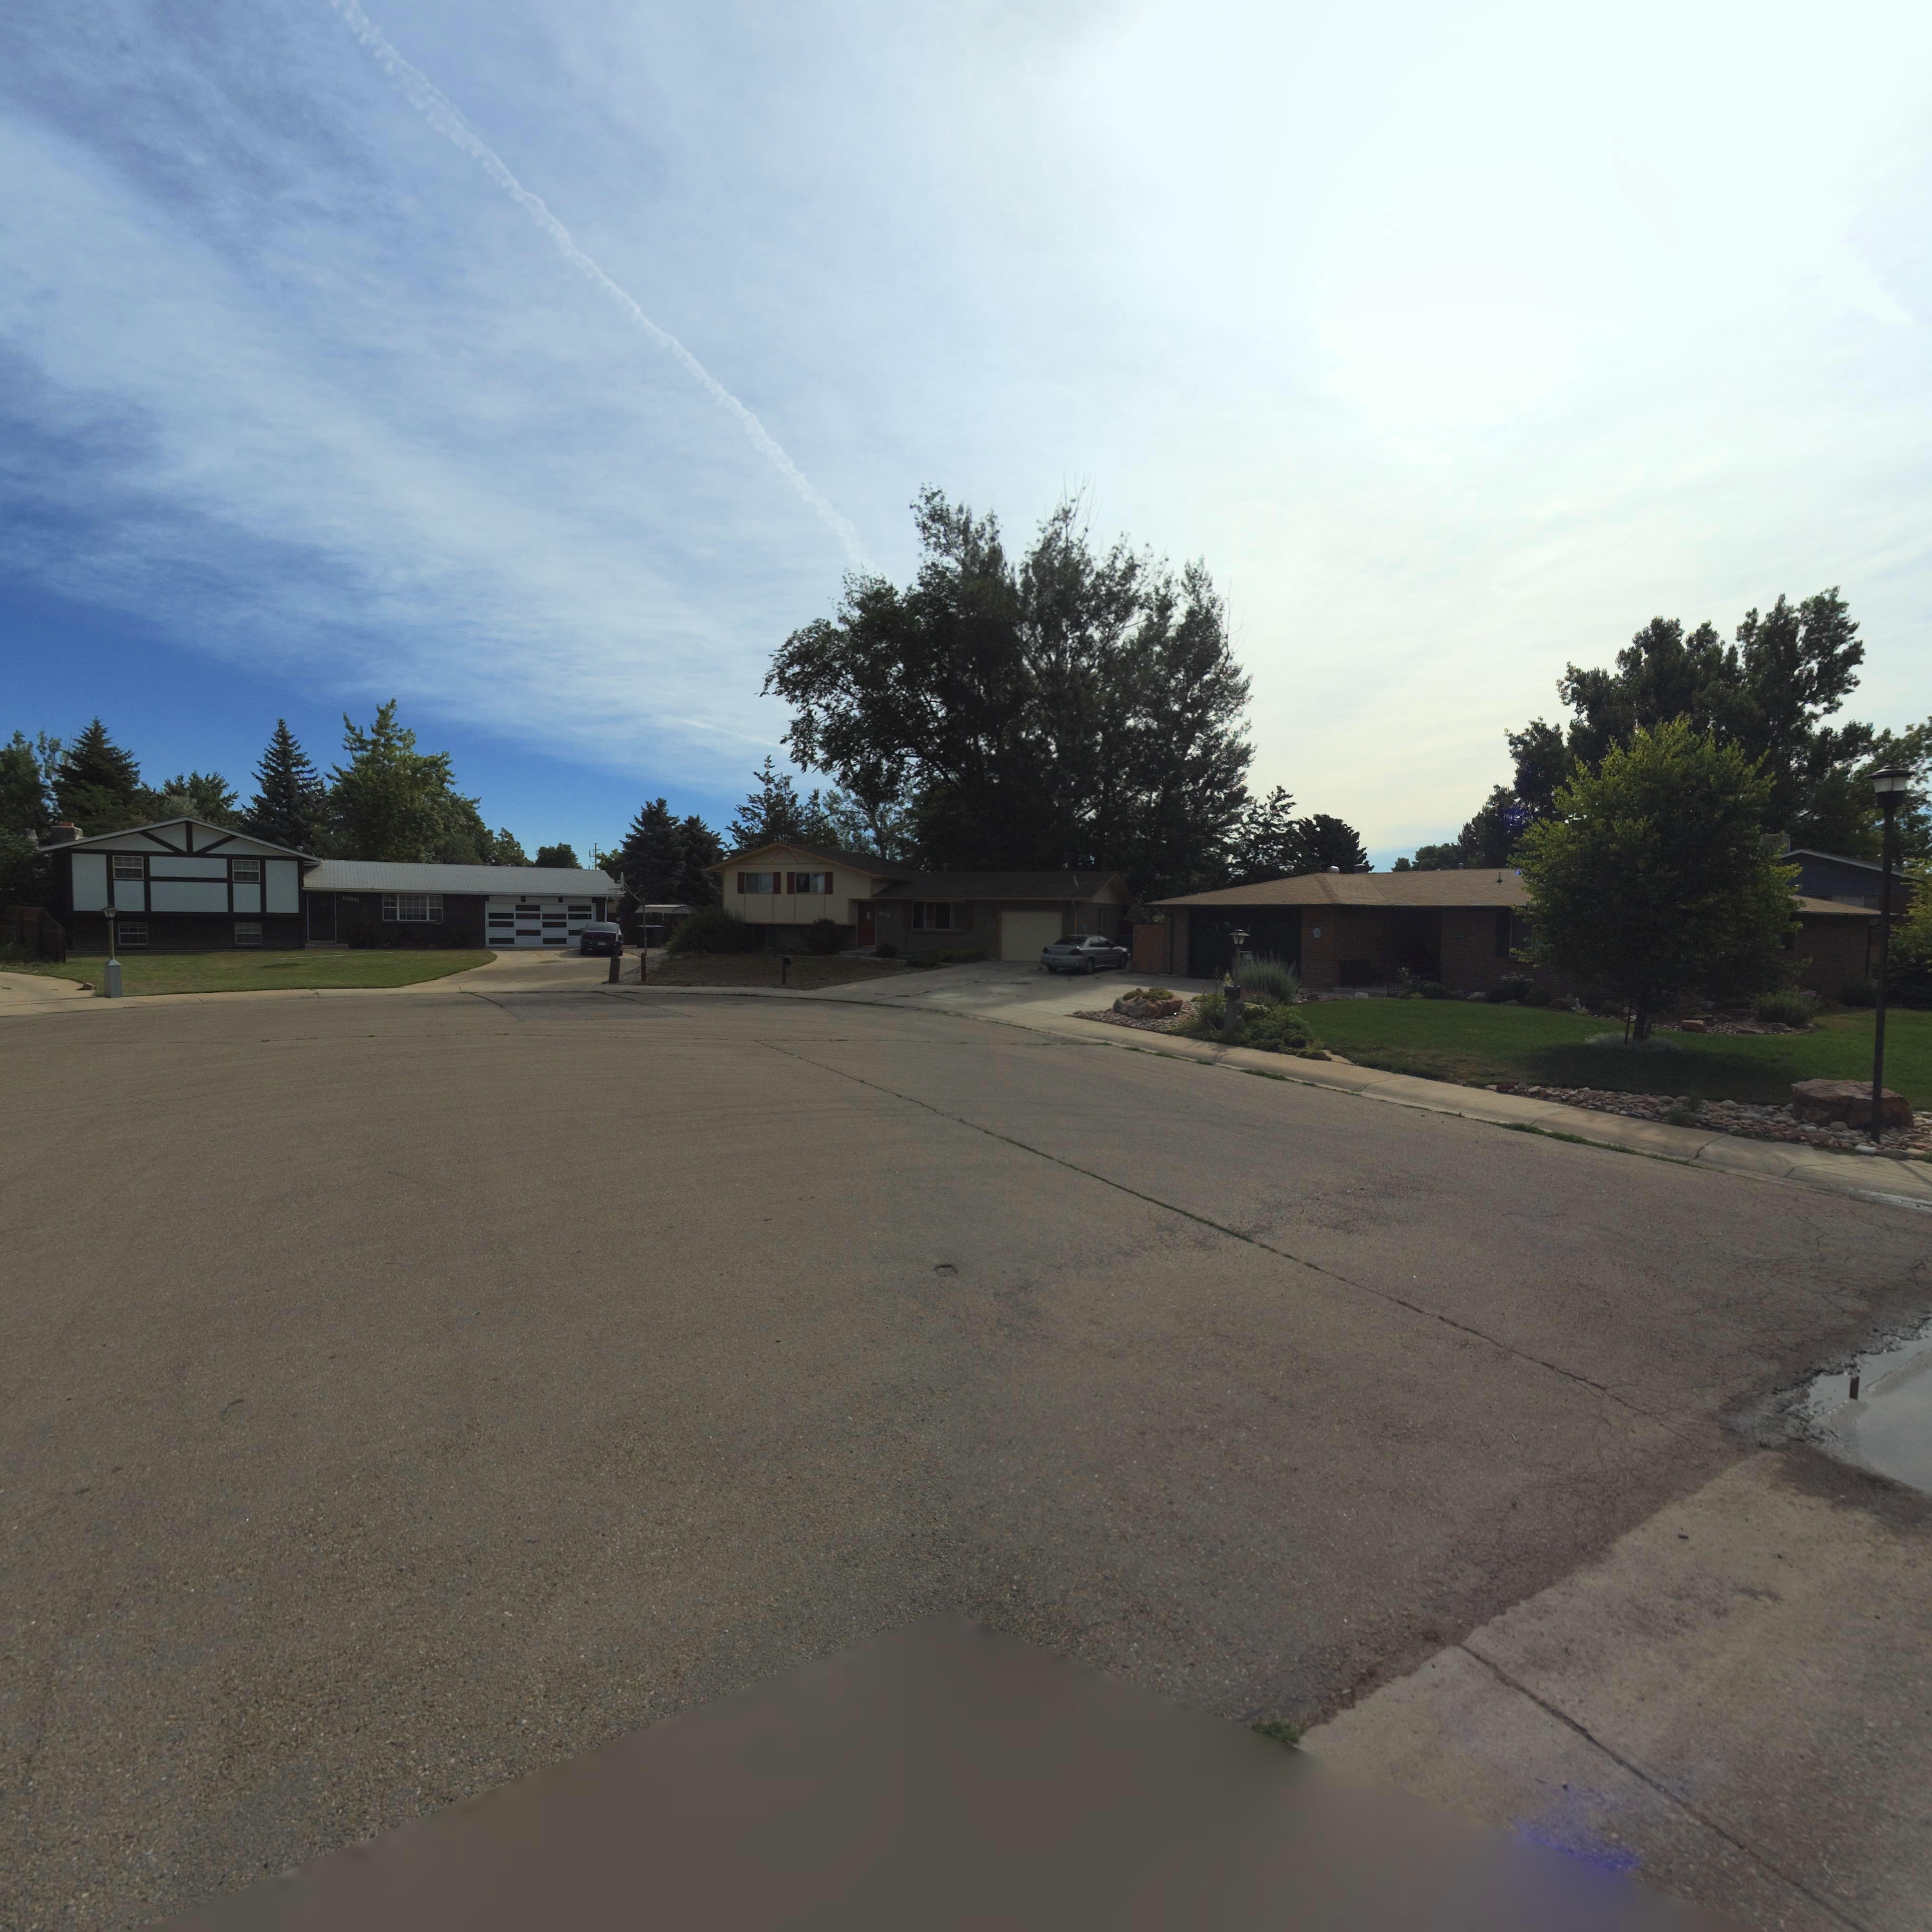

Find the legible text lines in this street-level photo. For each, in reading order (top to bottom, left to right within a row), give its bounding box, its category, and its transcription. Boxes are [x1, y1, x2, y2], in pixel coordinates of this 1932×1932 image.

[342, 895, 359, 902] StreetNumber: 1020
[879, 910, 890, 918] StreetNumber: 1014
[1453, 934, 1464, 938] StreetNumber: 1***
[1244, 954, 1252, 960] StreetNumber: 10**